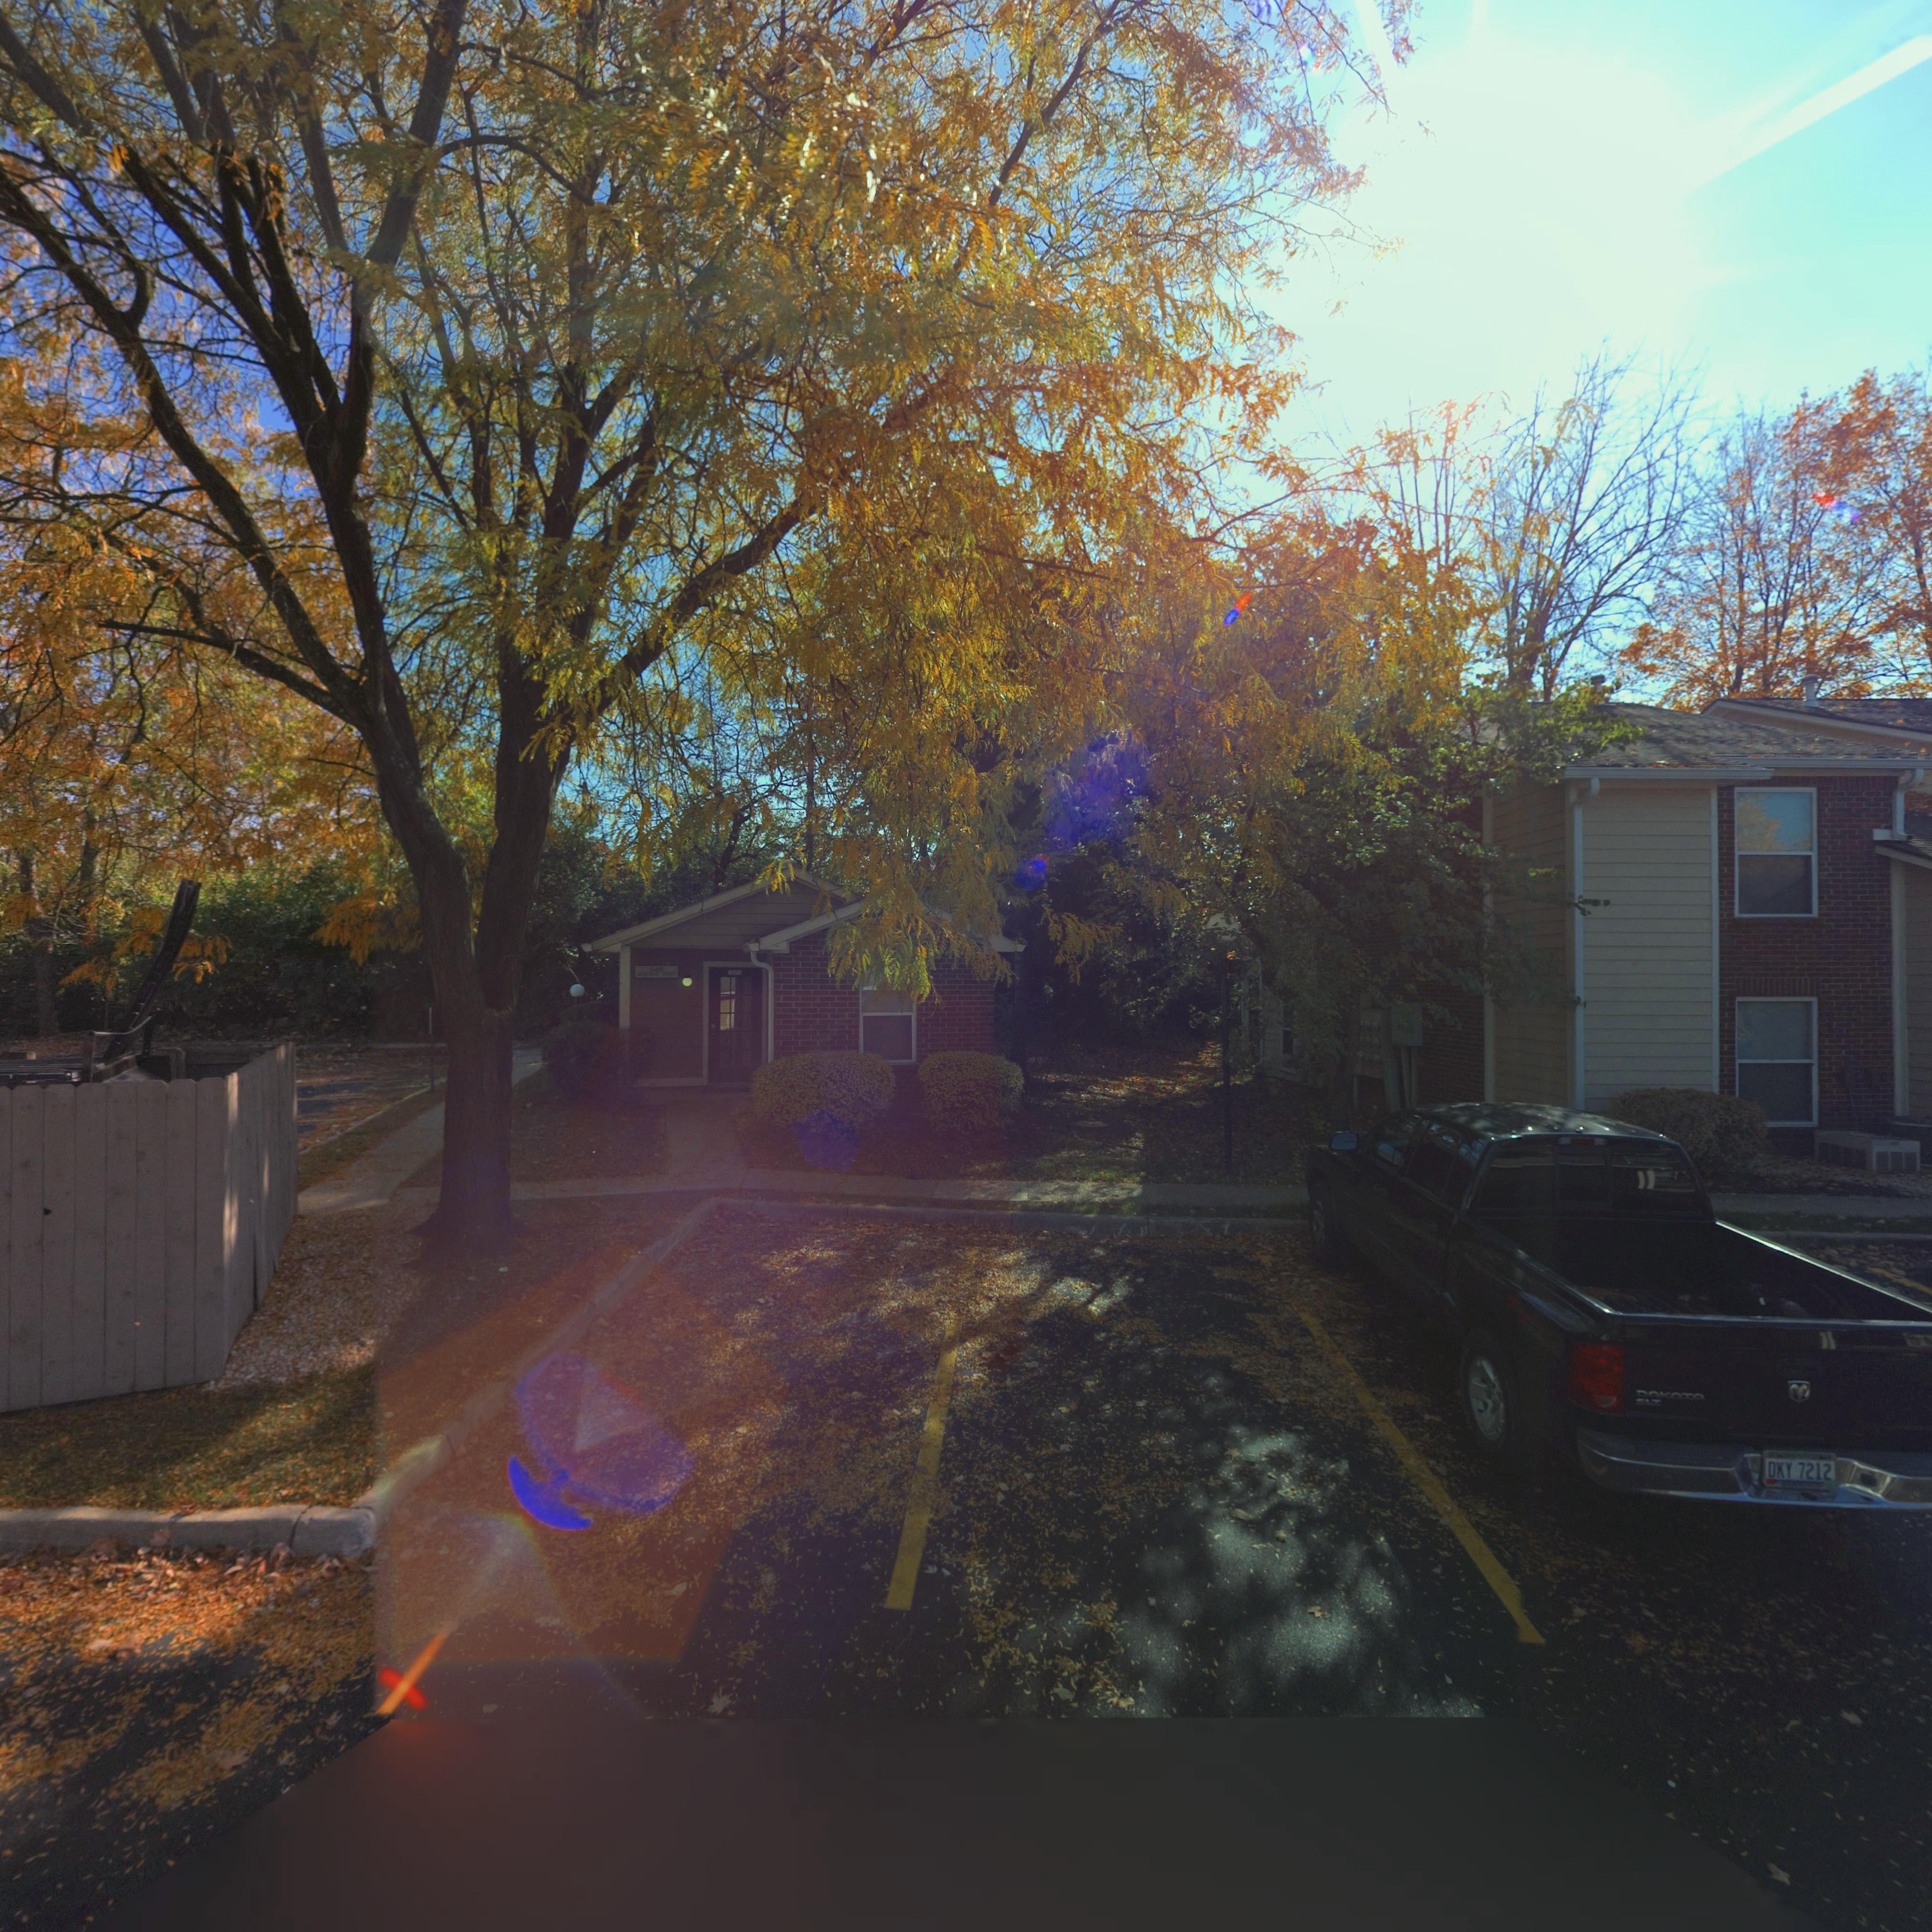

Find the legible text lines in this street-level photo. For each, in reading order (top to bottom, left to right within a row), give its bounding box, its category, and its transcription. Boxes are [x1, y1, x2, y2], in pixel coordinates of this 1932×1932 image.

[648, 965, 665, 973] StreetNumber: 64*
[1635, 1389, 1706, 1402] None: DOKO*O
[1767, 1459, 1833, 1482] None: DKY 7212